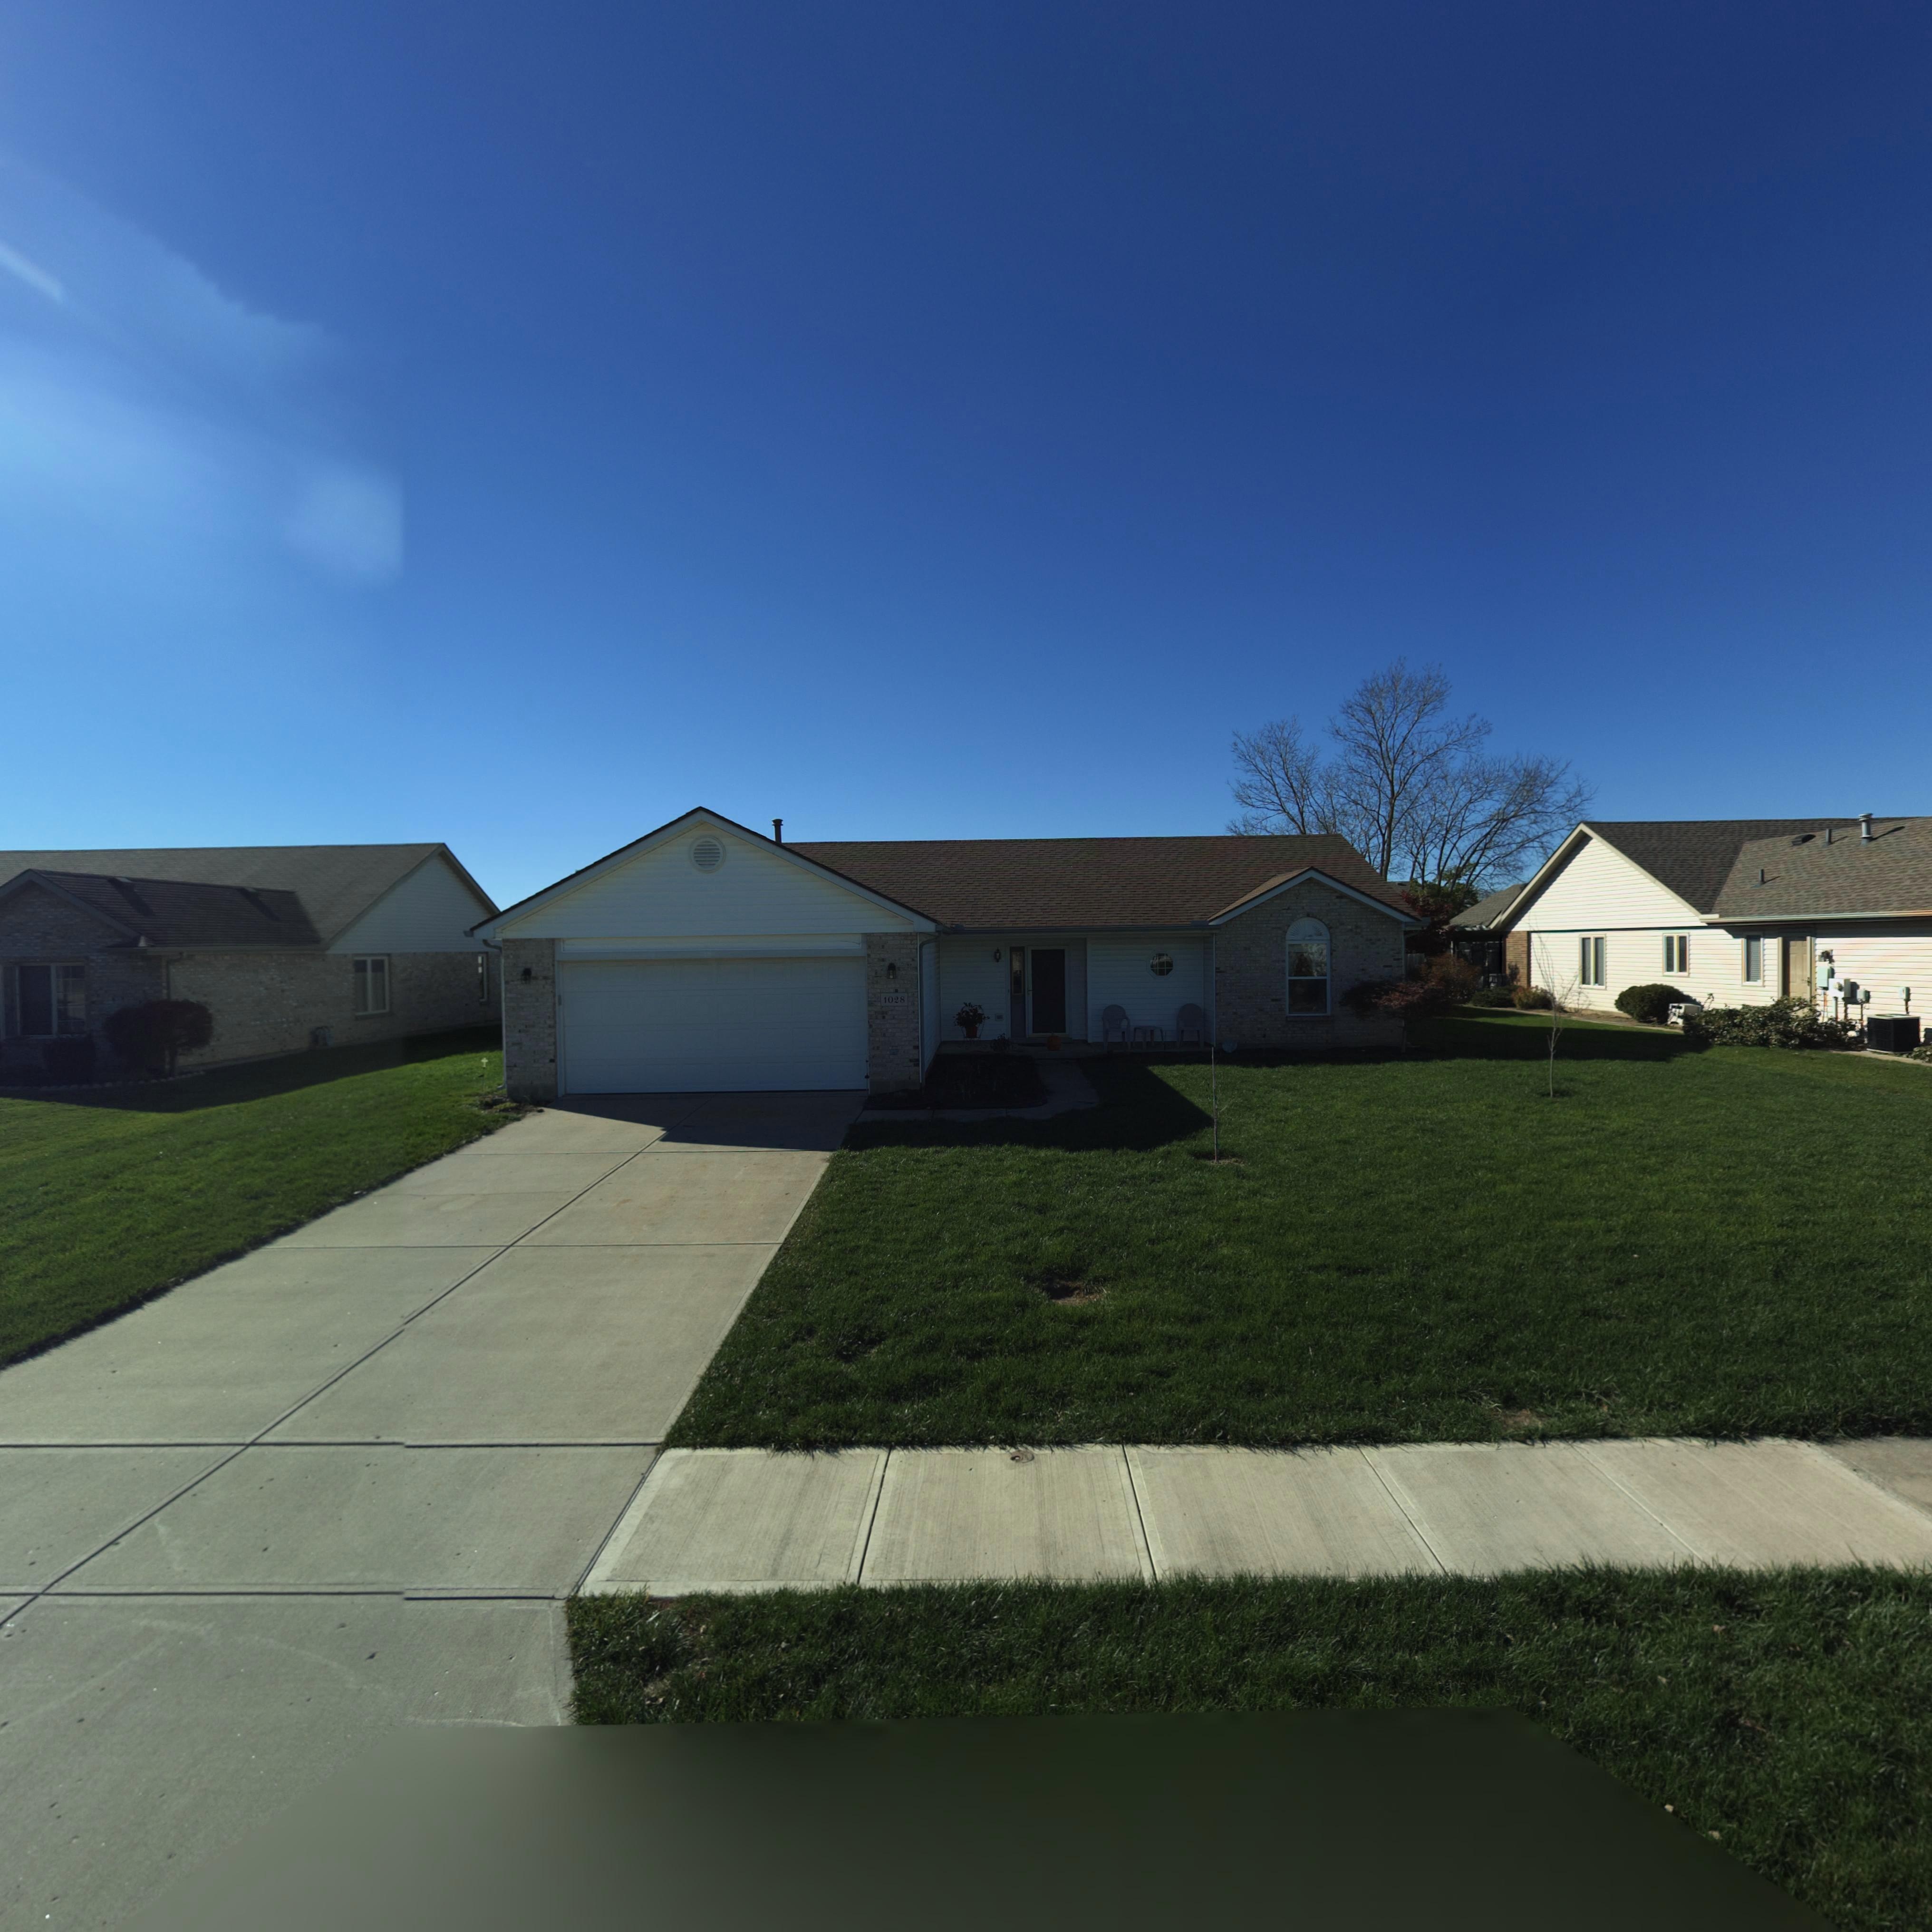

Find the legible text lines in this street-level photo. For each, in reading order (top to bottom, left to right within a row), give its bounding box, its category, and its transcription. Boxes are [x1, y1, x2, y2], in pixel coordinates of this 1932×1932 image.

[883, 995, 906, 1004] StreetNumber: 1028